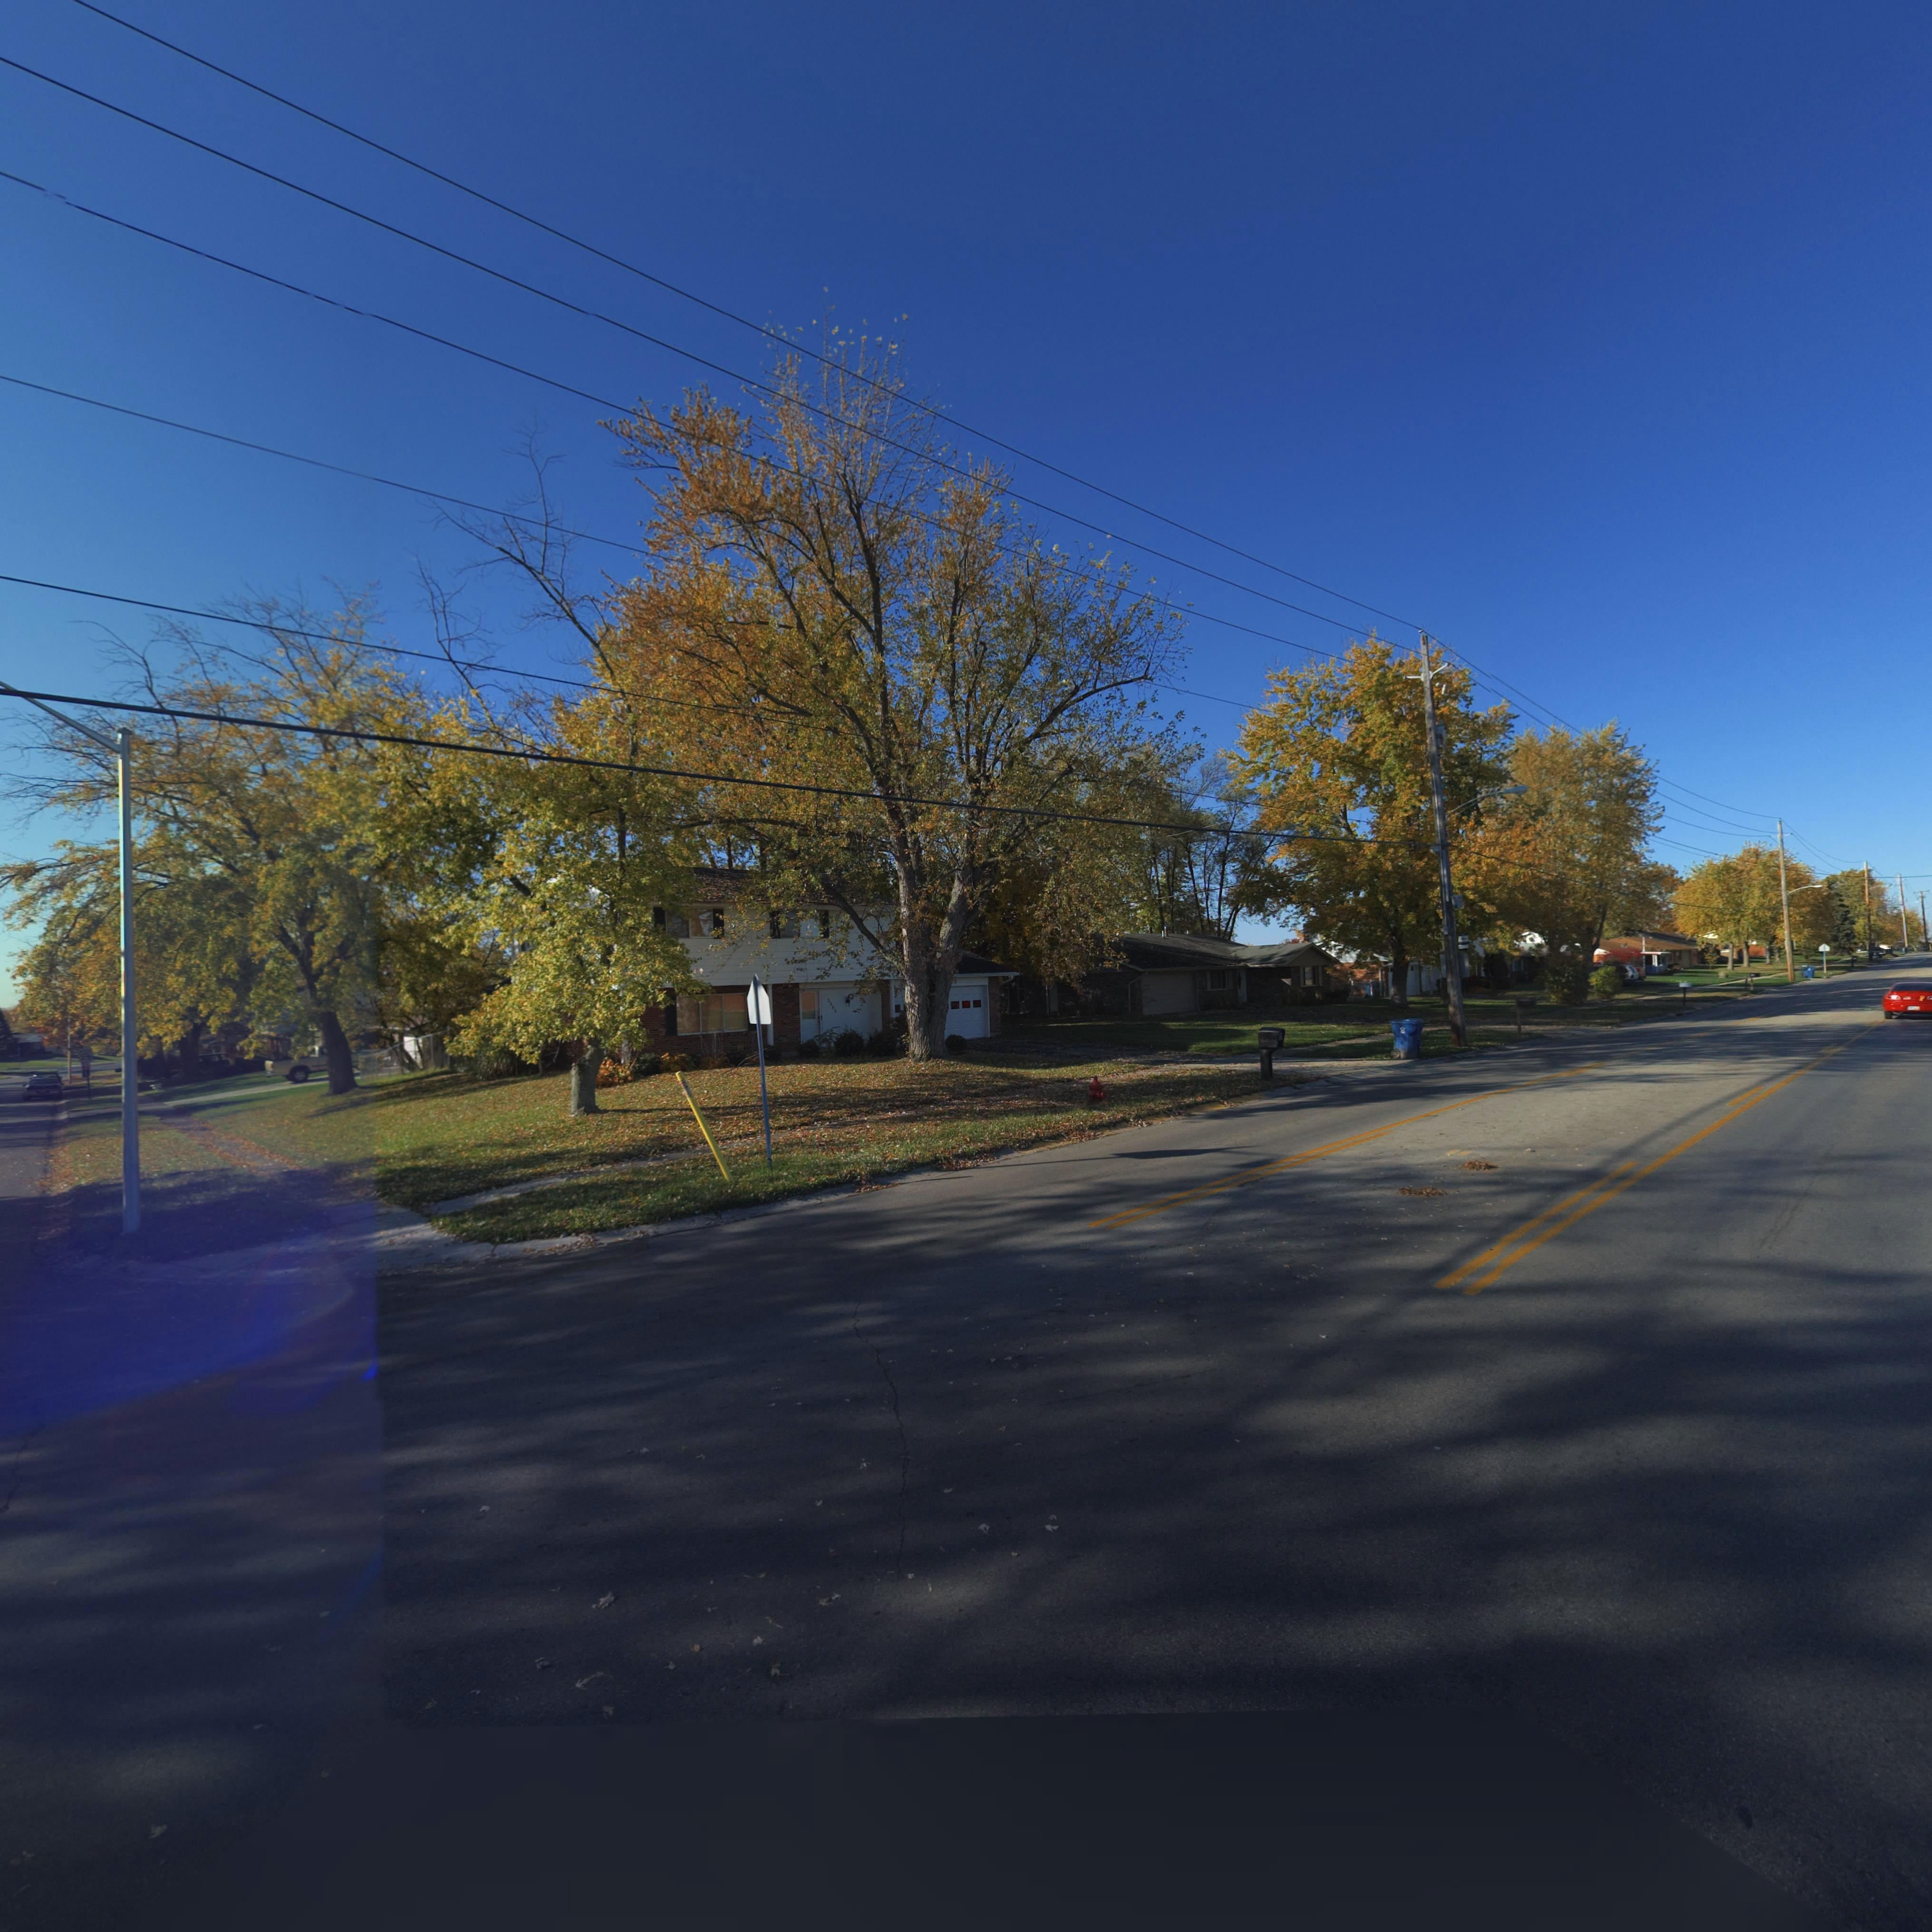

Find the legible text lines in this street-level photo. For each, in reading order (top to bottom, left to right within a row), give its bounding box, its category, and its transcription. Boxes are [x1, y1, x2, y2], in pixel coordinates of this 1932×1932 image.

[827, 997, 837, 1014] StreetNumber: 5888